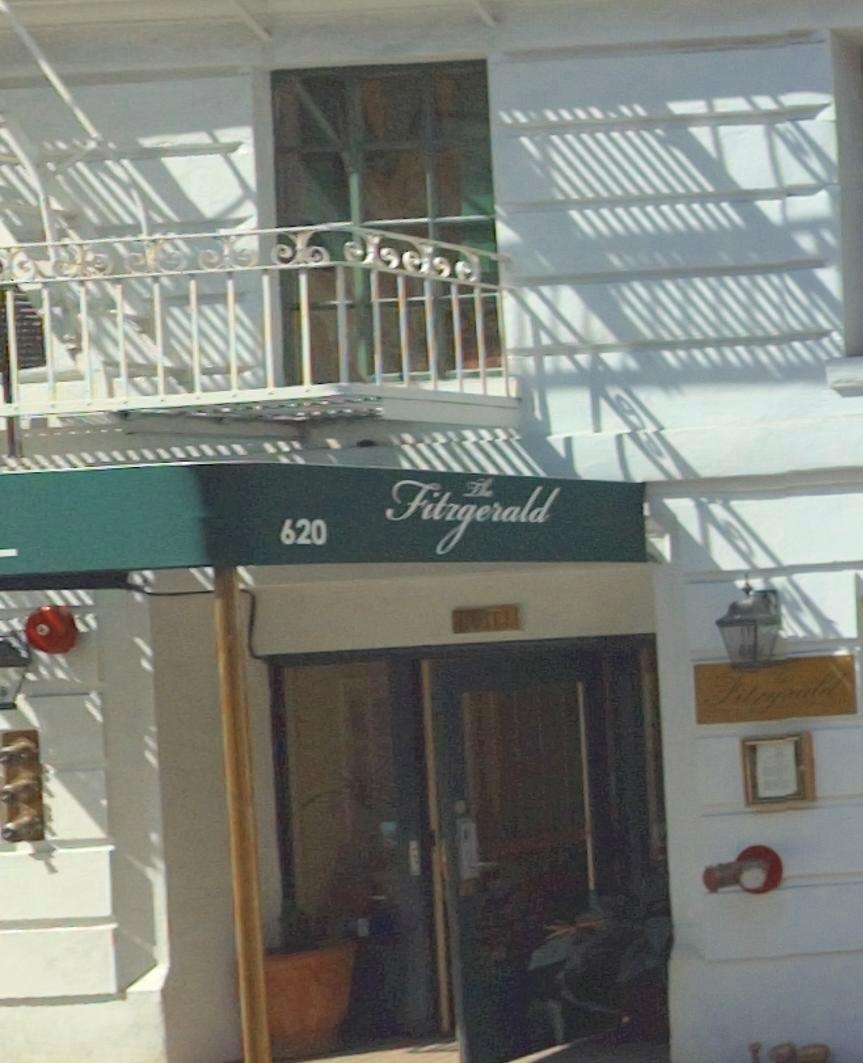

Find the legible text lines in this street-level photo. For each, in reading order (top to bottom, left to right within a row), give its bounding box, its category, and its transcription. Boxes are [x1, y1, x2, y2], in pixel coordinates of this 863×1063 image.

[460, 476, 504, 499] BusinessName: The
[278, 516, 328, 546] StreetNumber: 620
[379, 476, 567, 560] BusinessName: Fitzgerald
[454, 605, 519, 635] None: HOTEL
[699, 665, 855, 717] None: Fitzg*rald